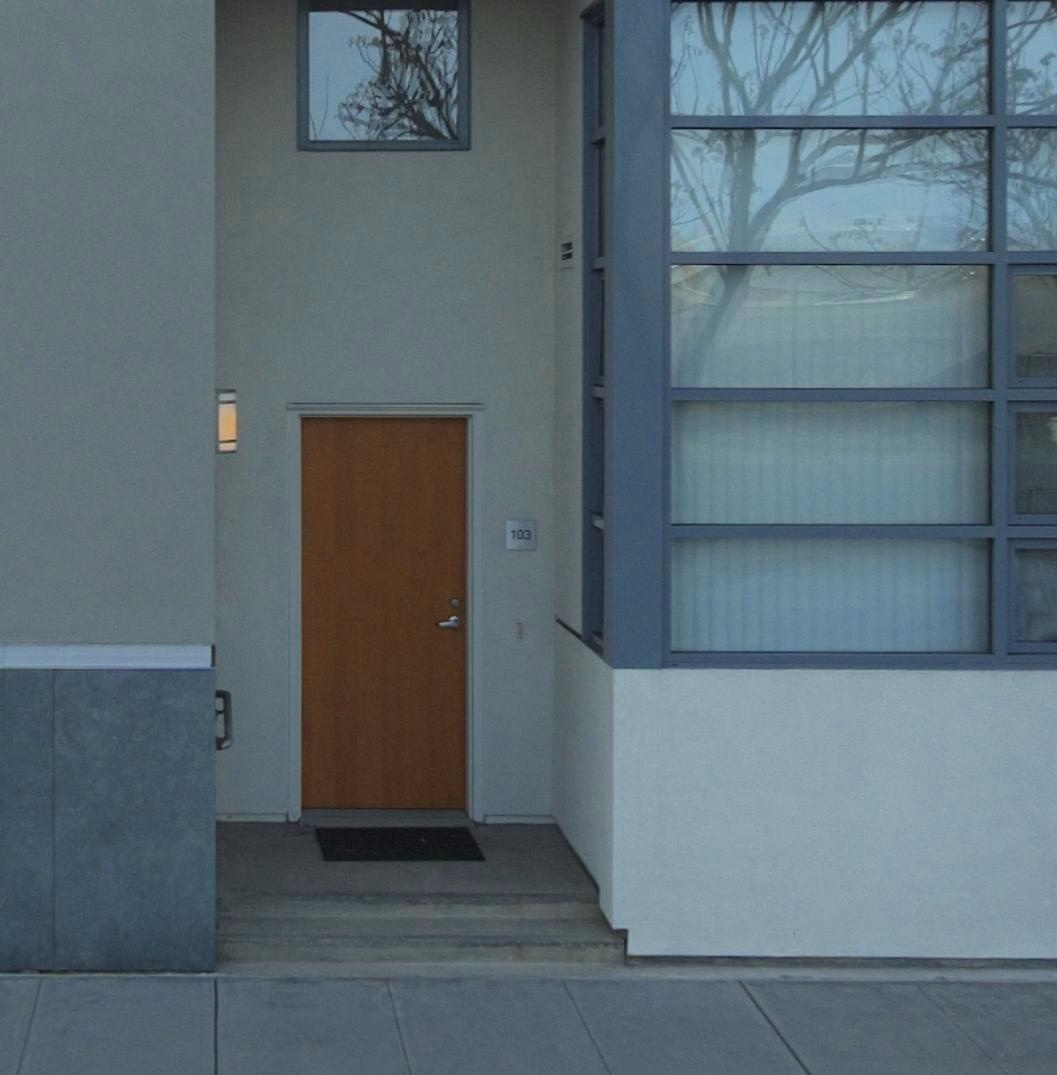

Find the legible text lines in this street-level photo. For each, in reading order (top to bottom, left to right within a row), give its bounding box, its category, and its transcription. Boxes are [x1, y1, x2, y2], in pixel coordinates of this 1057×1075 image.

[508, 527, 534, 543] StreetNumber: 103